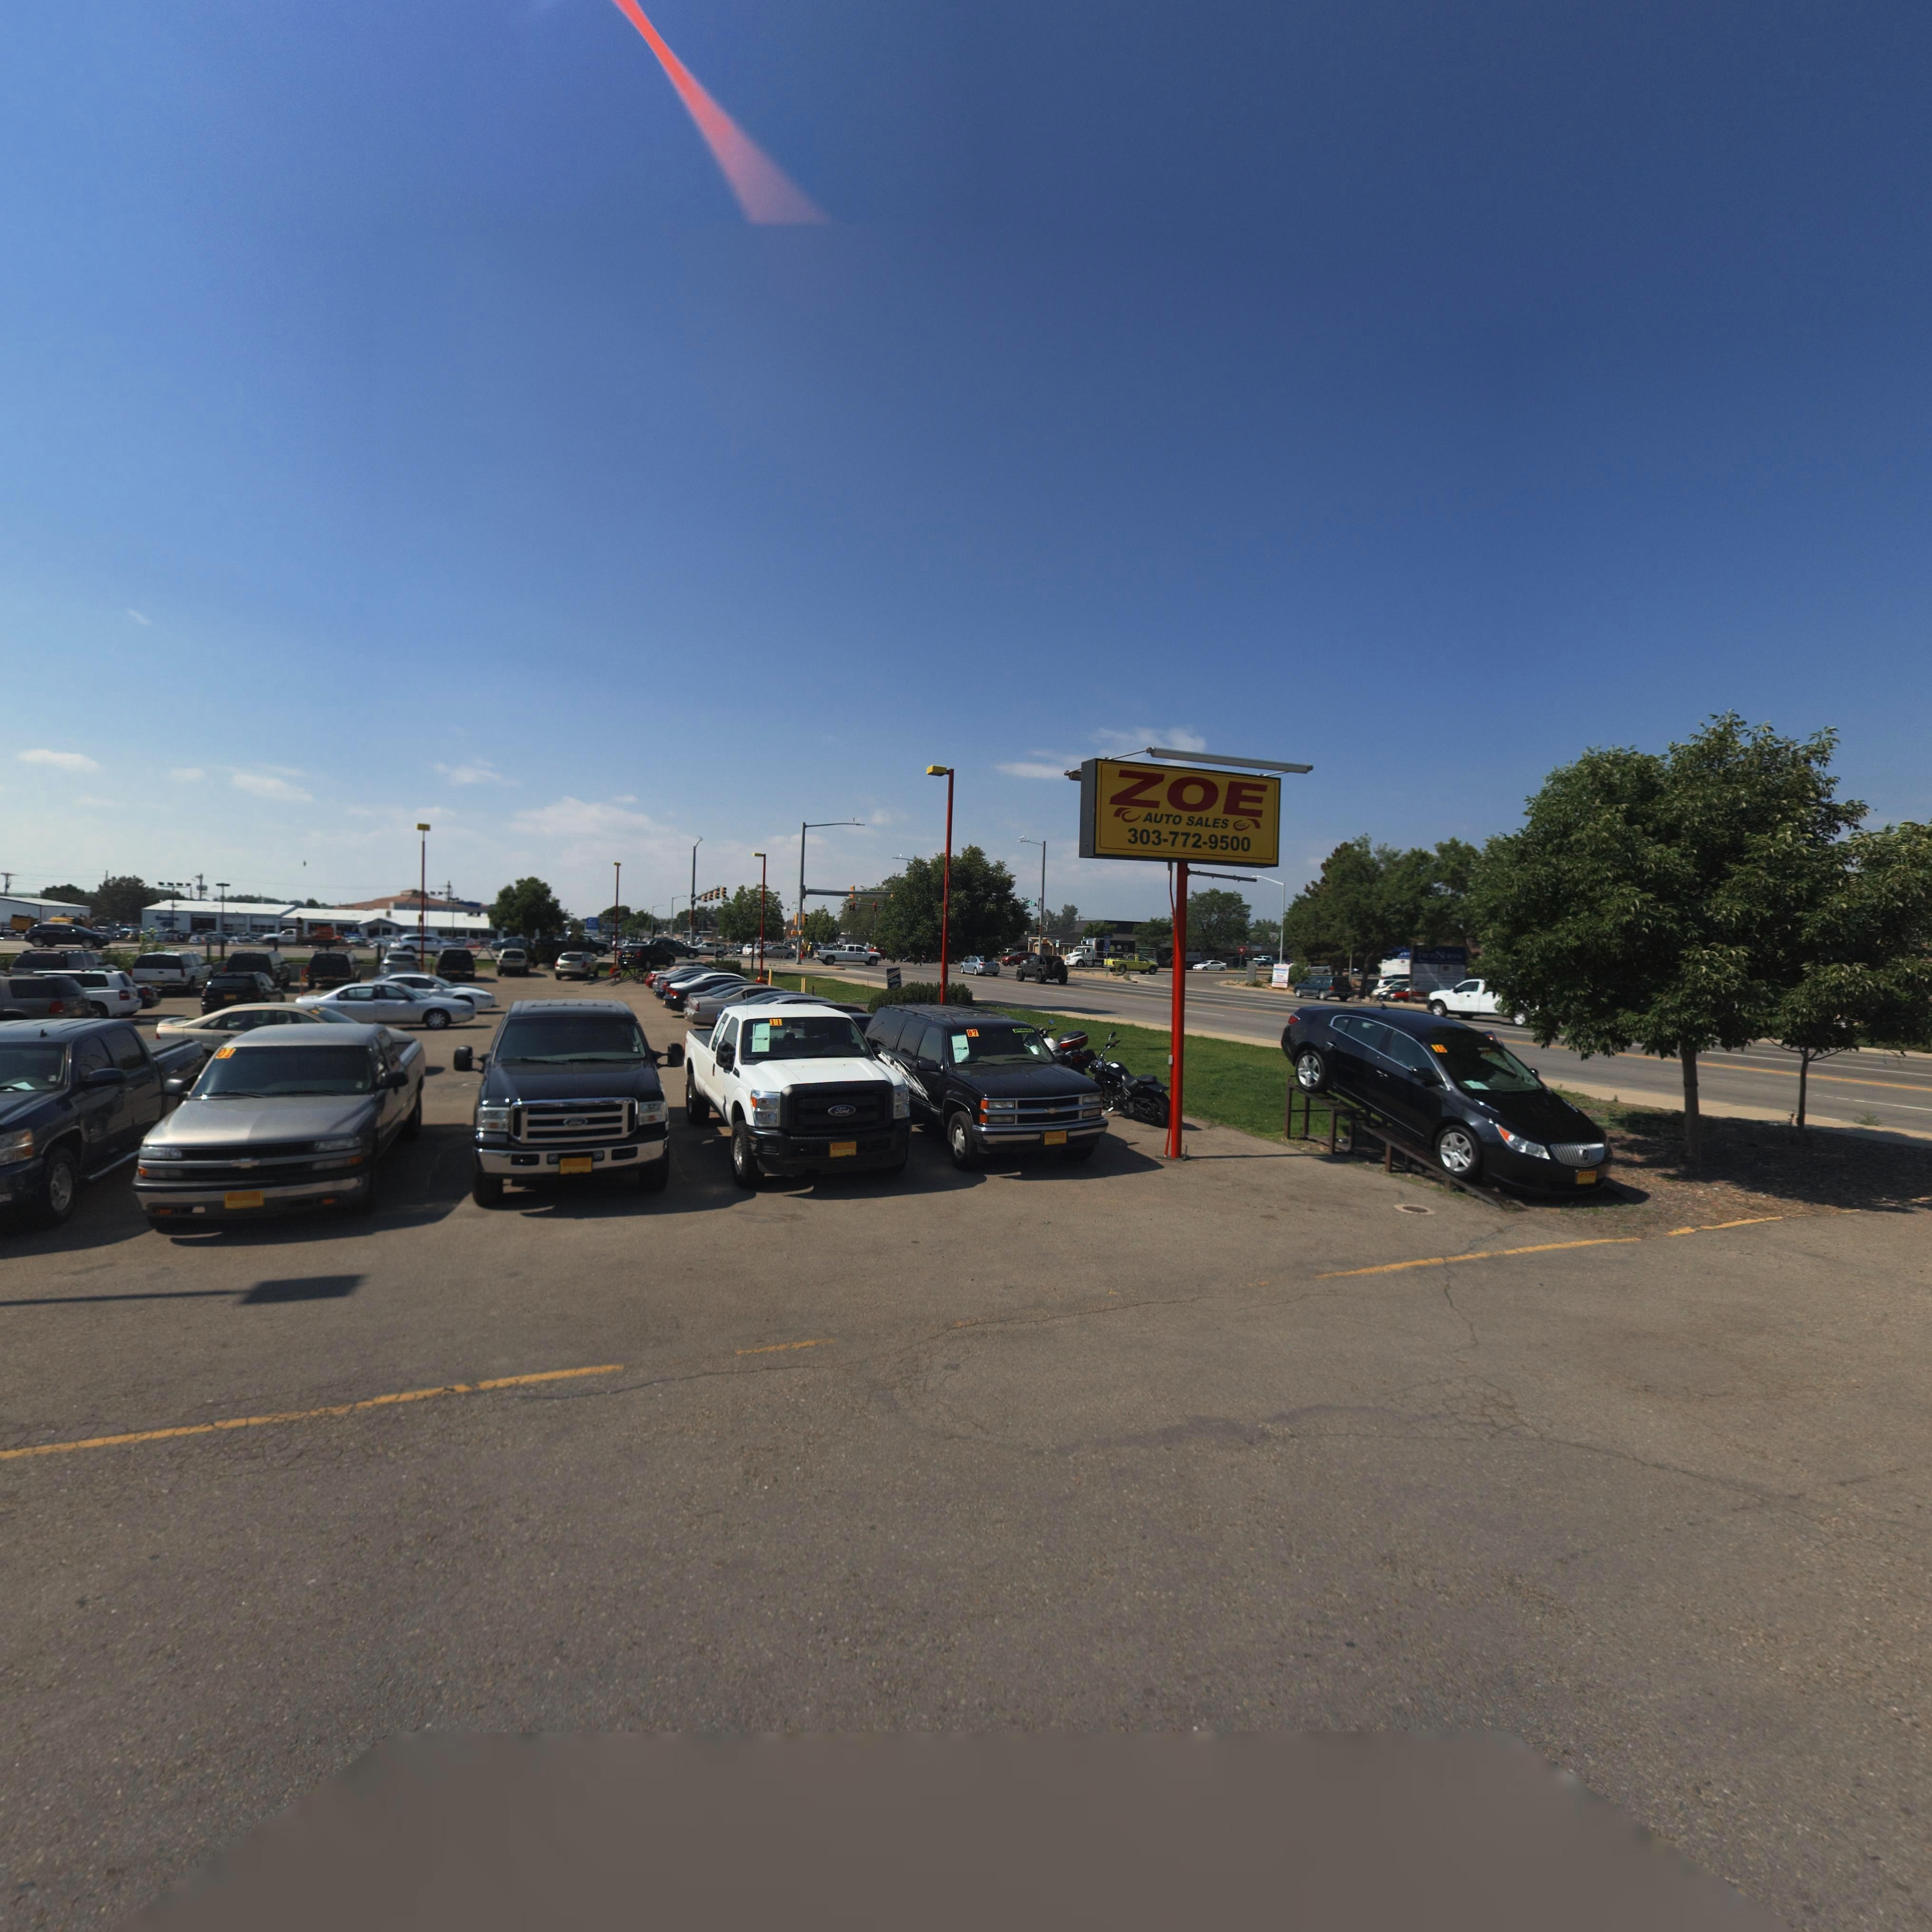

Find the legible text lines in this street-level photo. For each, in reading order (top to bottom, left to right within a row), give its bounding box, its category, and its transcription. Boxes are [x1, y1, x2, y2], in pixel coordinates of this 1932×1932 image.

[1107, 767, 1269, 819] BusinessName: ZOE
[1142, 811, 1230, 830] BusinessName: AUTO SALES